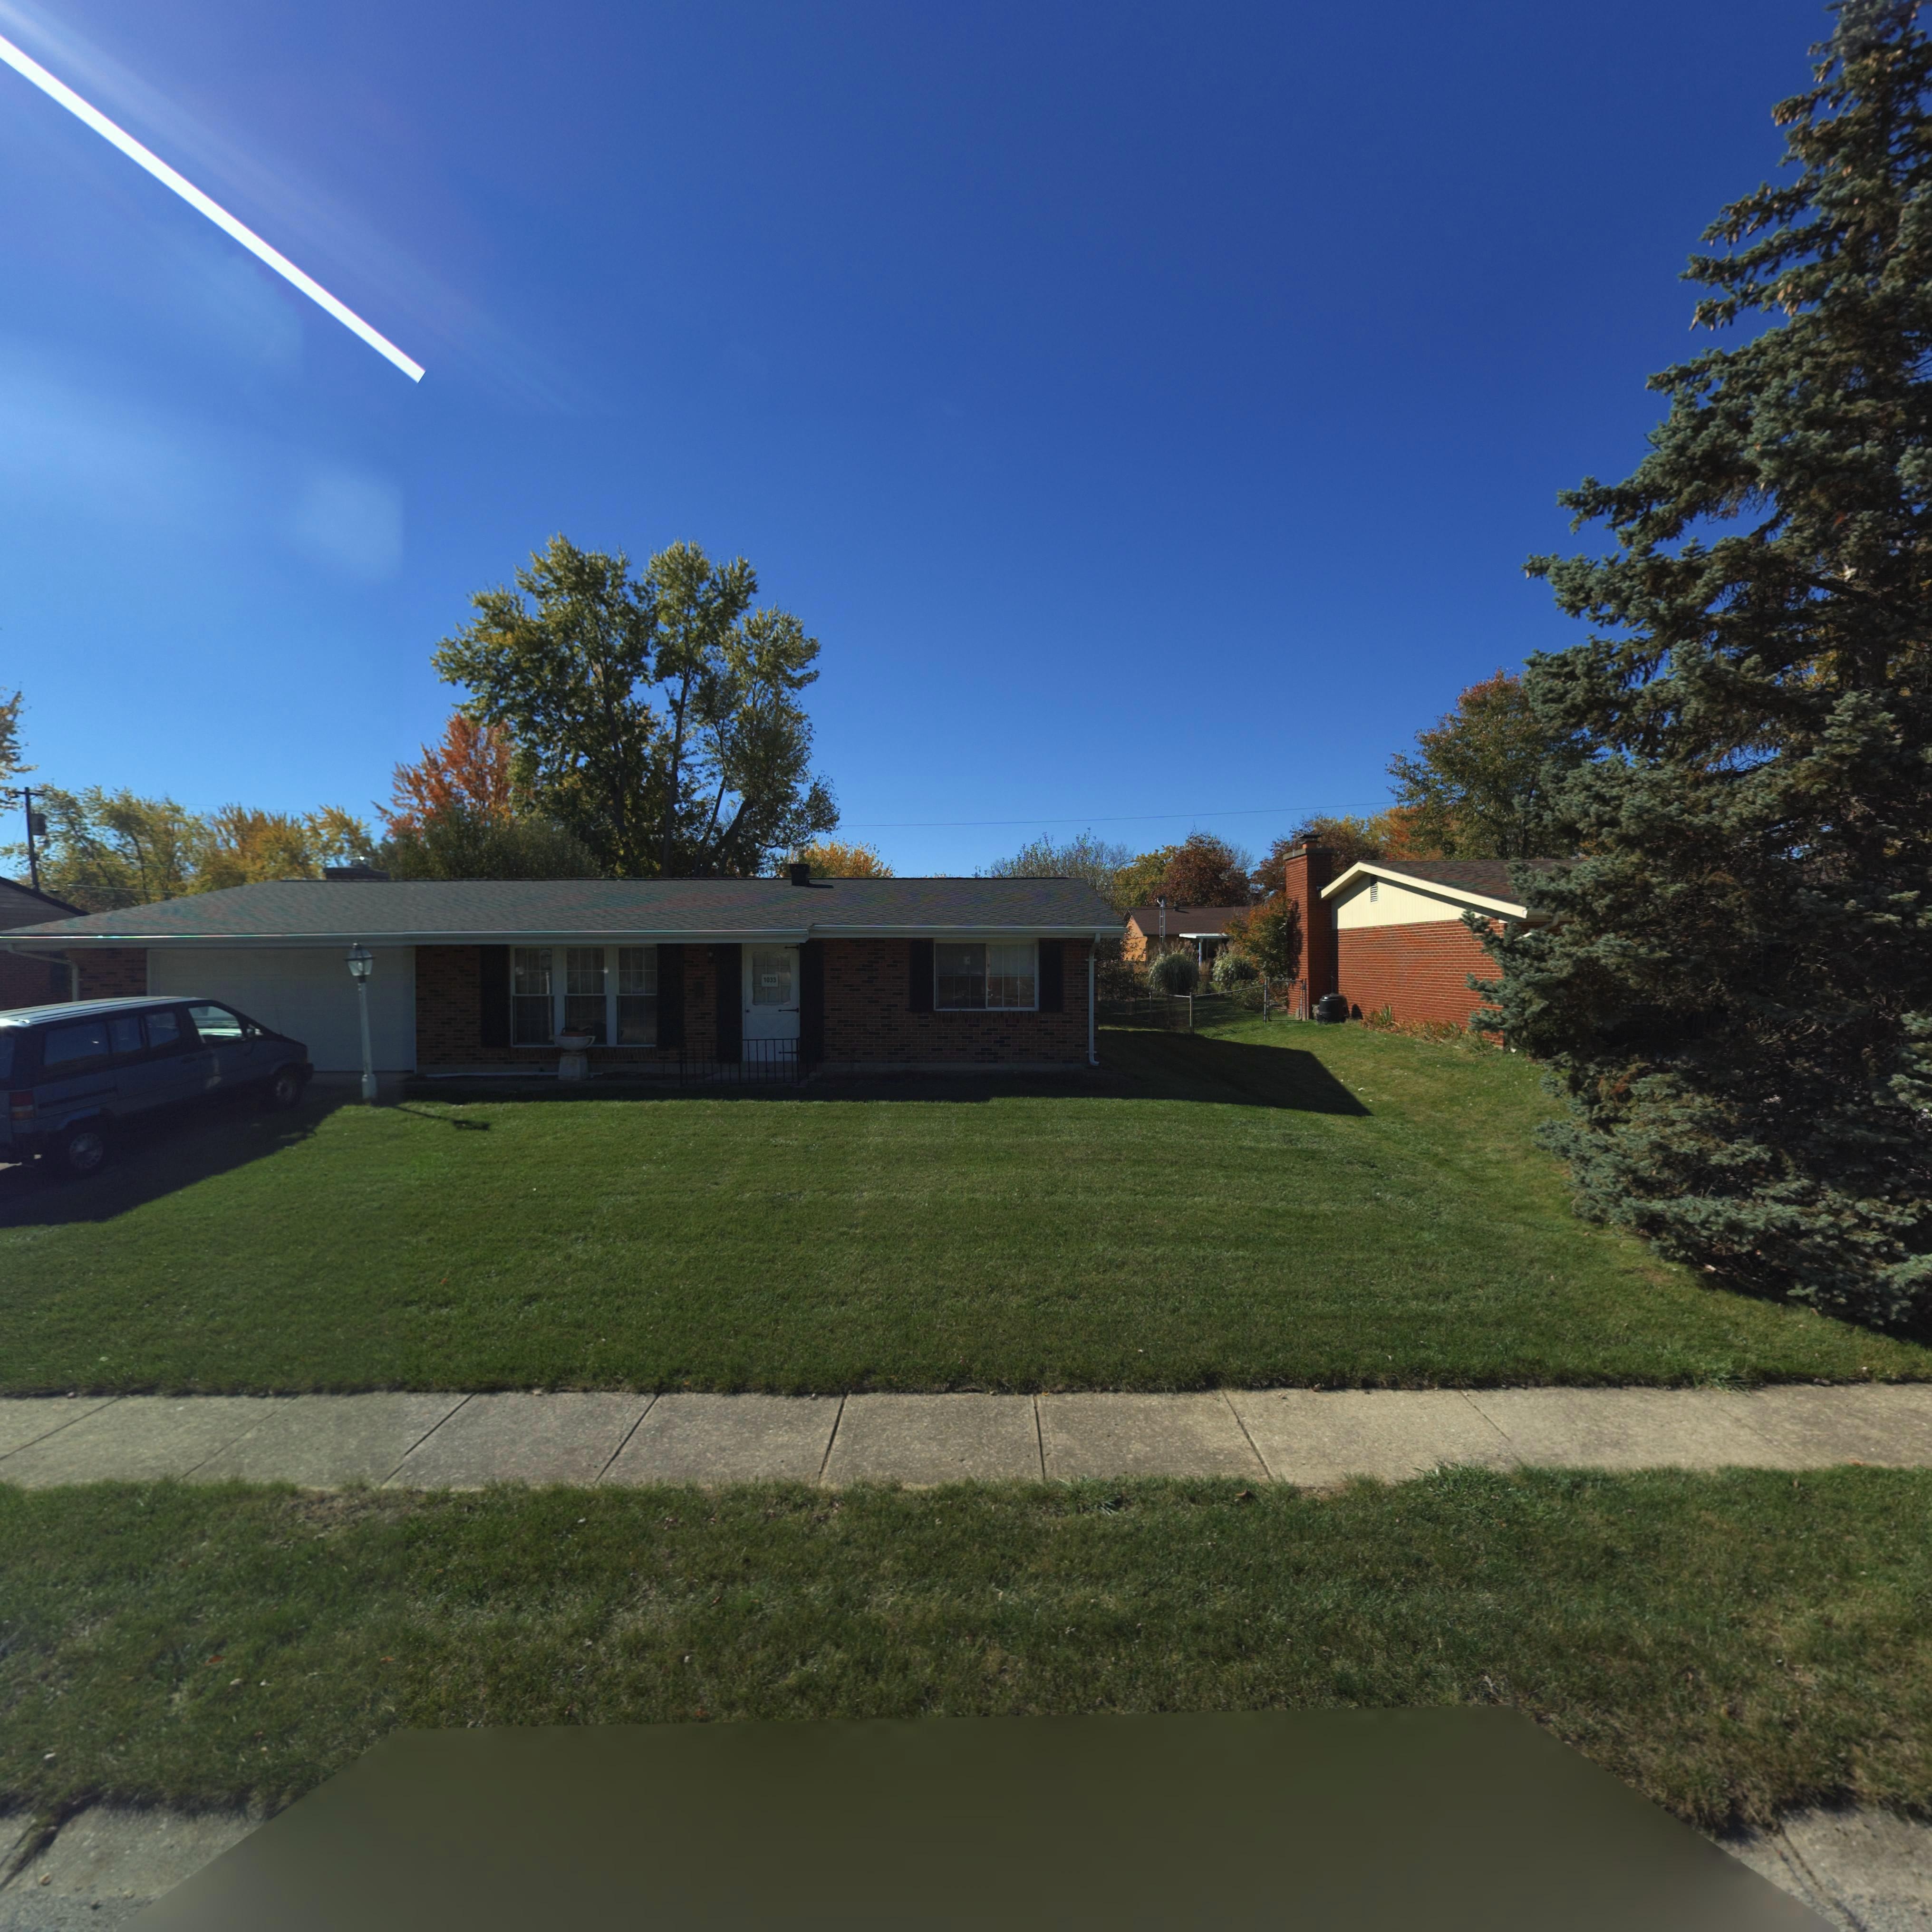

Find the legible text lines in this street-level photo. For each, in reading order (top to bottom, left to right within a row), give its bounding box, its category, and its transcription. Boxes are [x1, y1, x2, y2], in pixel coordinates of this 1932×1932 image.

[763, 976, 777, 984] StreetNumber: 1033